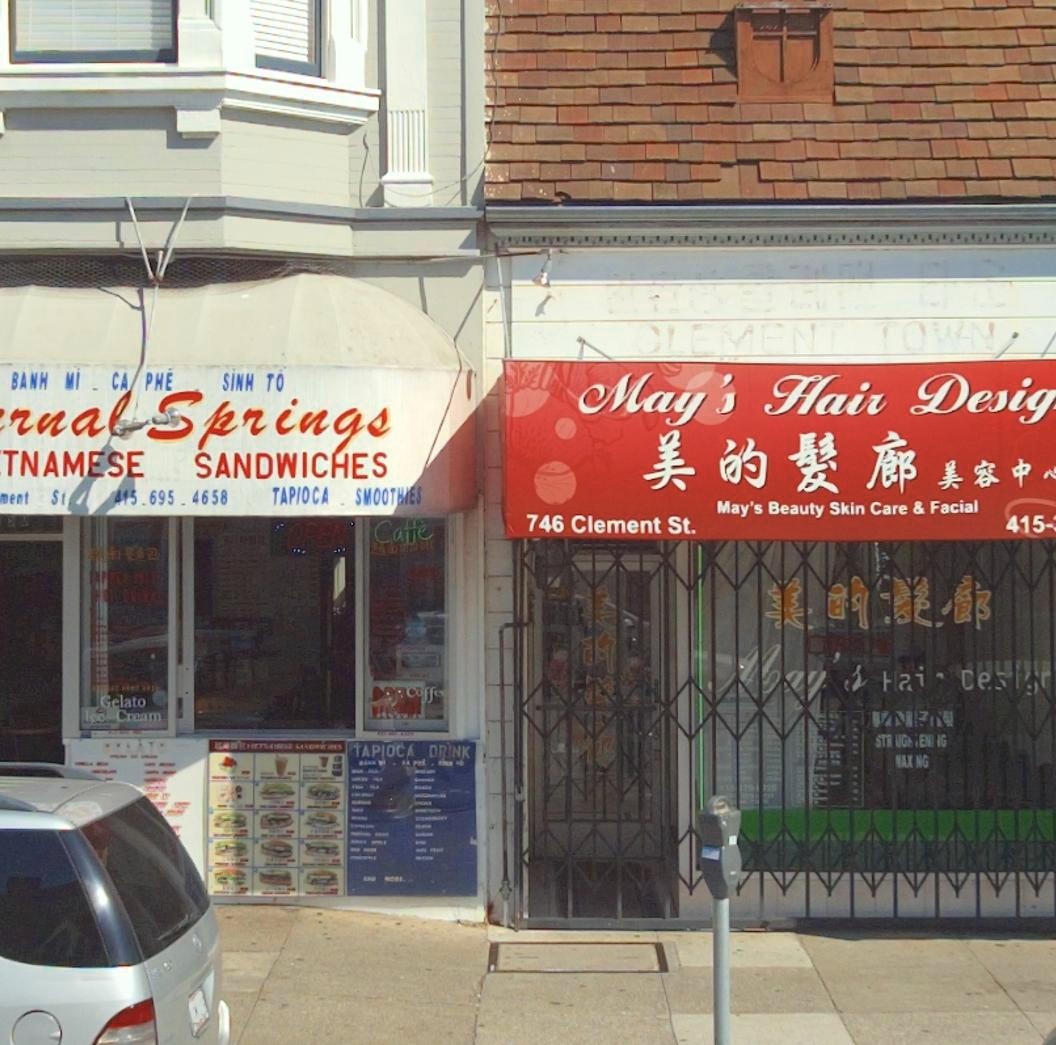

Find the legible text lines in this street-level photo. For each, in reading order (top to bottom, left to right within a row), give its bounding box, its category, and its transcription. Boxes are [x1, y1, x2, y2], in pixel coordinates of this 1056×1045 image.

[9, 369, 285, 392] None: BAHN MI  CA PHE    SIHN TO
[579, 370, 1054, 426] BusinessName: May's Hair Desig
[10, 389, 392, 450] BusinessName: rual Springs
[1, 447, 144, 477] None: TNANESE
[190, 448, 387, 480] None: SANDWICHES
[8, 488, 71, 505] StreetName: ent St.
[110, 486, 228, 506] None: 415.695.4658
[271, 484, 424, 506] None: TAPIOCA SMOOTHIES
[713, 496, 979, 517] None: May's Beauty Skin Care & Facial
[282, 516, 347, 552] None: OPEN
[370, 512, 434, 545] None: Caffe
[525, 512, 566, 535] StreetNumber: 746
[569, 513, 695, 535] None: Clement
[1004, 512, 1045, 536] None: 415
[98, 692, 145, 709] None: Gelato
[405, 684, 445, 704] None: Coffee
[83, 708, 162, 724] None: Ice Cream
[352, 742, 470, 759] None: TAPIOCA DRINK